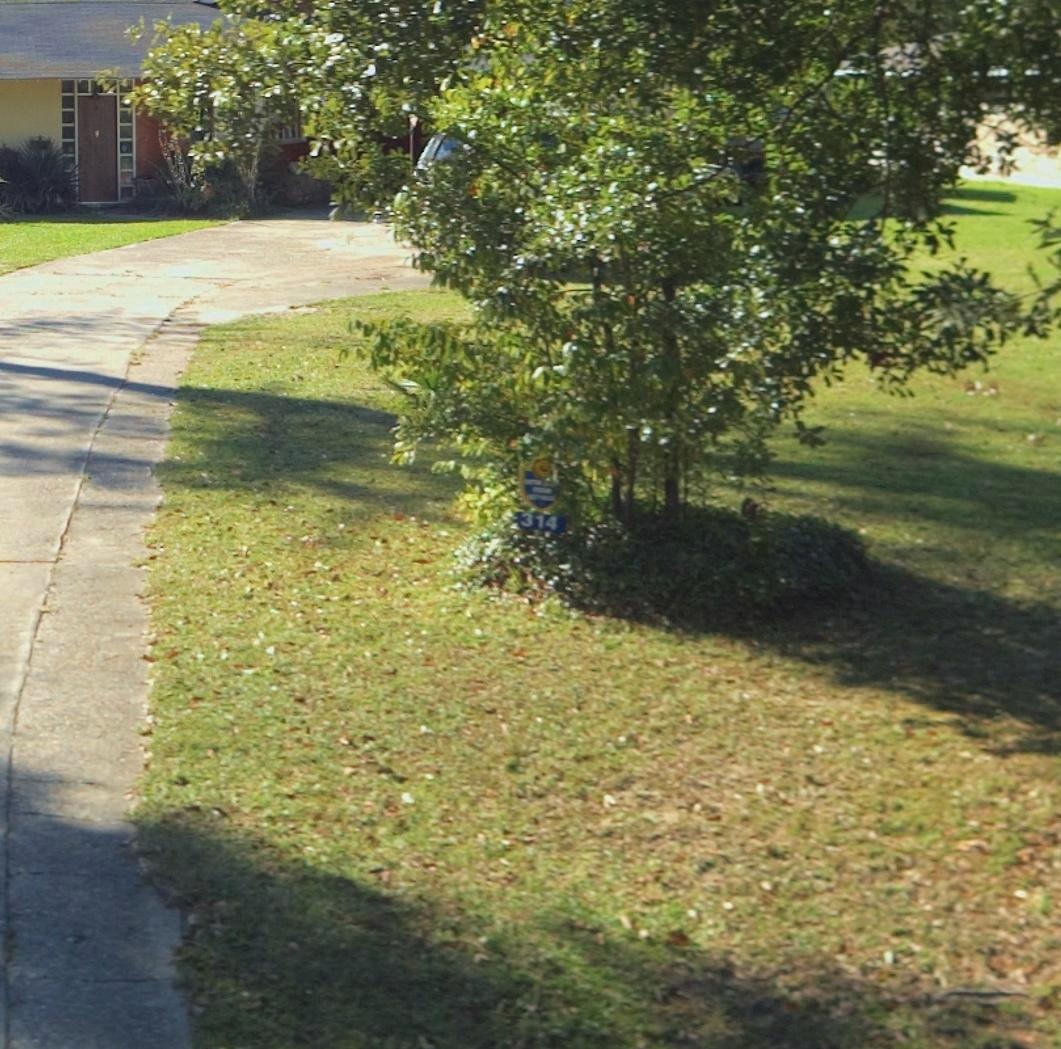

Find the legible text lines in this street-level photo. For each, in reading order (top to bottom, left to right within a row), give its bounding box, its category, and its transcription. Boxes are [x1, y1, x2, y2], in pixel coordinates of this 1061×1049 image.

[520, 510, 559, 532] StreetNumber: 314